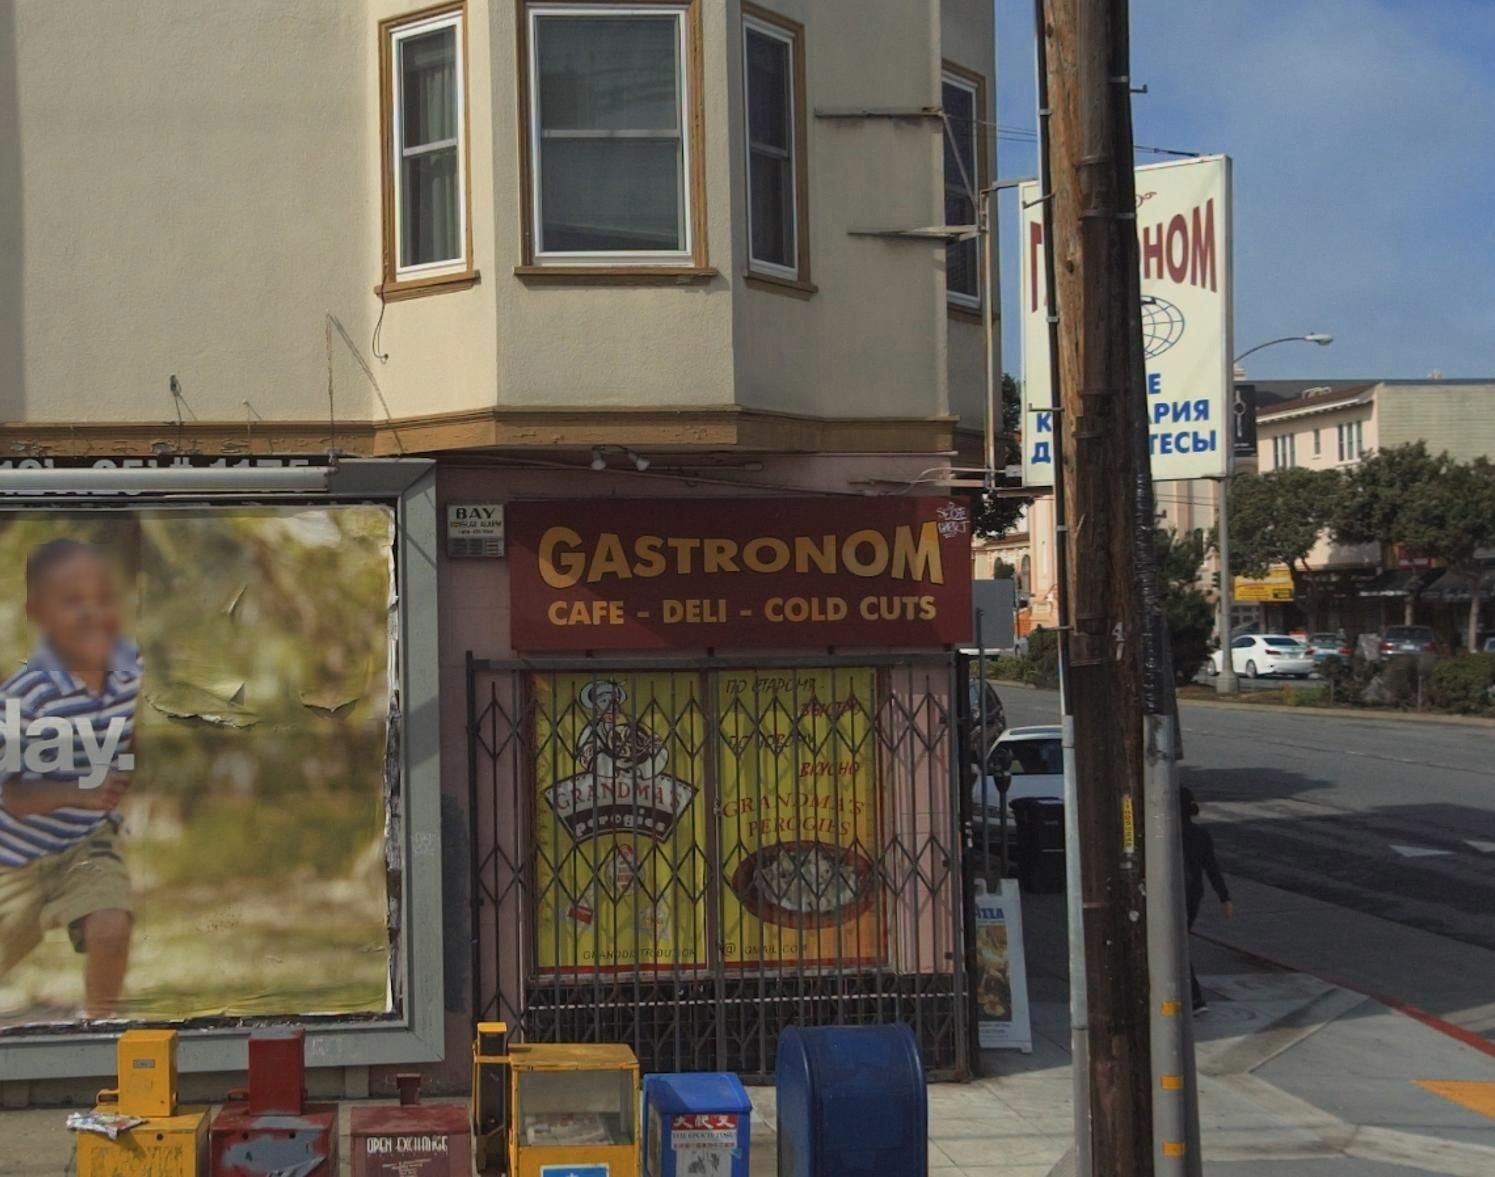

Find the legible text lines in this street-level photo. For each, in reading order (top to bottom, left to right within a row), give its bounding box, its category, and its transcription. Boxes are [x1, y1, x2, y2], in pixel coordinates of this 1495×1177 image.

[1141, 192, 1219, 295] BusinessName: HOM
[1147, 371, 1163, 395] None: E
[1034, 411, 1053, 434] None: K
[1153, 397, 1211, 425] None: P**
[1159, 429, 1218, 456] None: ECbl
[454, 506, 497, 520] None: BAY
[536, 518, 946, 590] BusinessName: GASTRONOM
[546, 593, 940, 628] None: CAFE - DELI - COLD CUTS
[1110, 620, 1127, 666] None: 41
[23, 713, 138, 791] None: ay.
[798, 758, 862, 779] None: B*Y*H*
[555, 780, 684, 812] BusinessName: G***D***
[721, 791, 865, 819] BusinessName: GR*****'*
[571, 807, 667, 838] BusinessName: p*r*gies
[746, 816, 852, 838] BusinessName: PE***I*S
[980, 905, 1007, 921] None: ZZA
[581, 942, 809, 962] None: G*AN*DI*TR**U*O* @ G**IL COM*
[365, 1132, 450, 1156] None: OPEN EXCHANGE